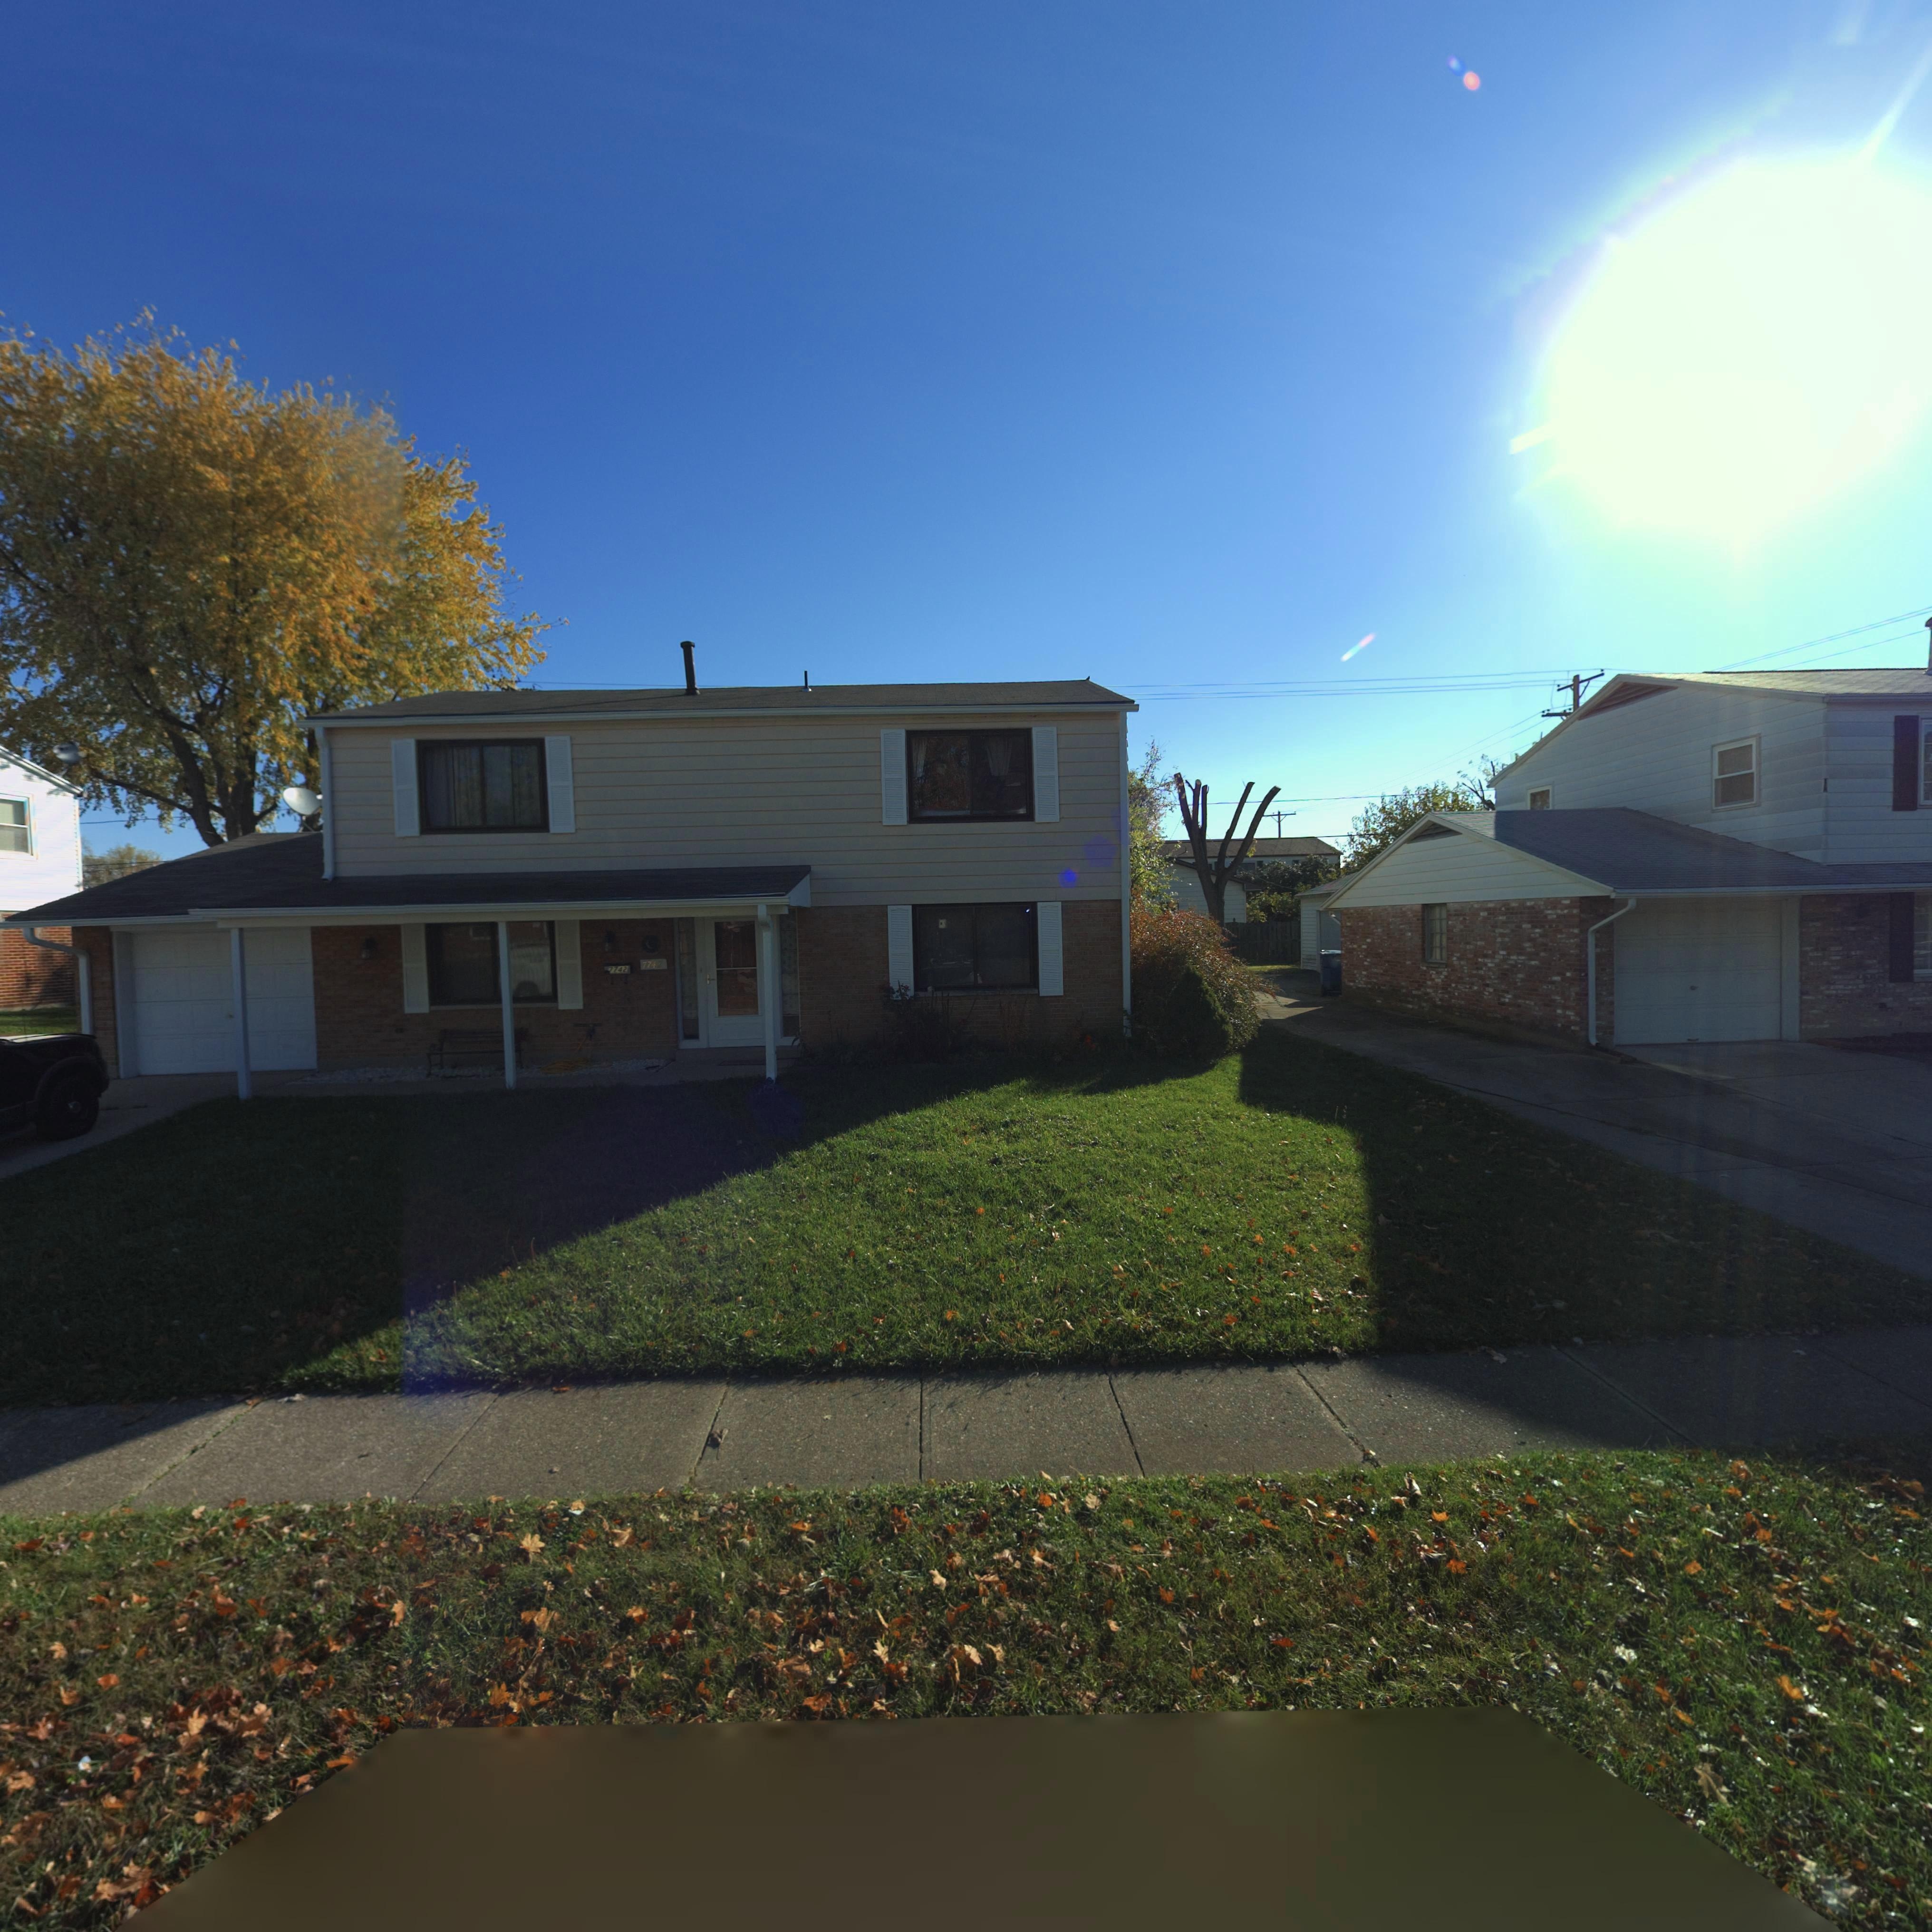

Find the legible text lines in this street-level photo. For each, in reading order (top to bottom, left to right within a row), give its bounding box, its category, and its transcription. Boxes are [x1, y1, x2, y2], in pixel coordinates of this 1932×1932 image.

[608, 966, 628, 974] StreetNumber: 7742
[641, 960, 664, 970] StreetNumber: 774*